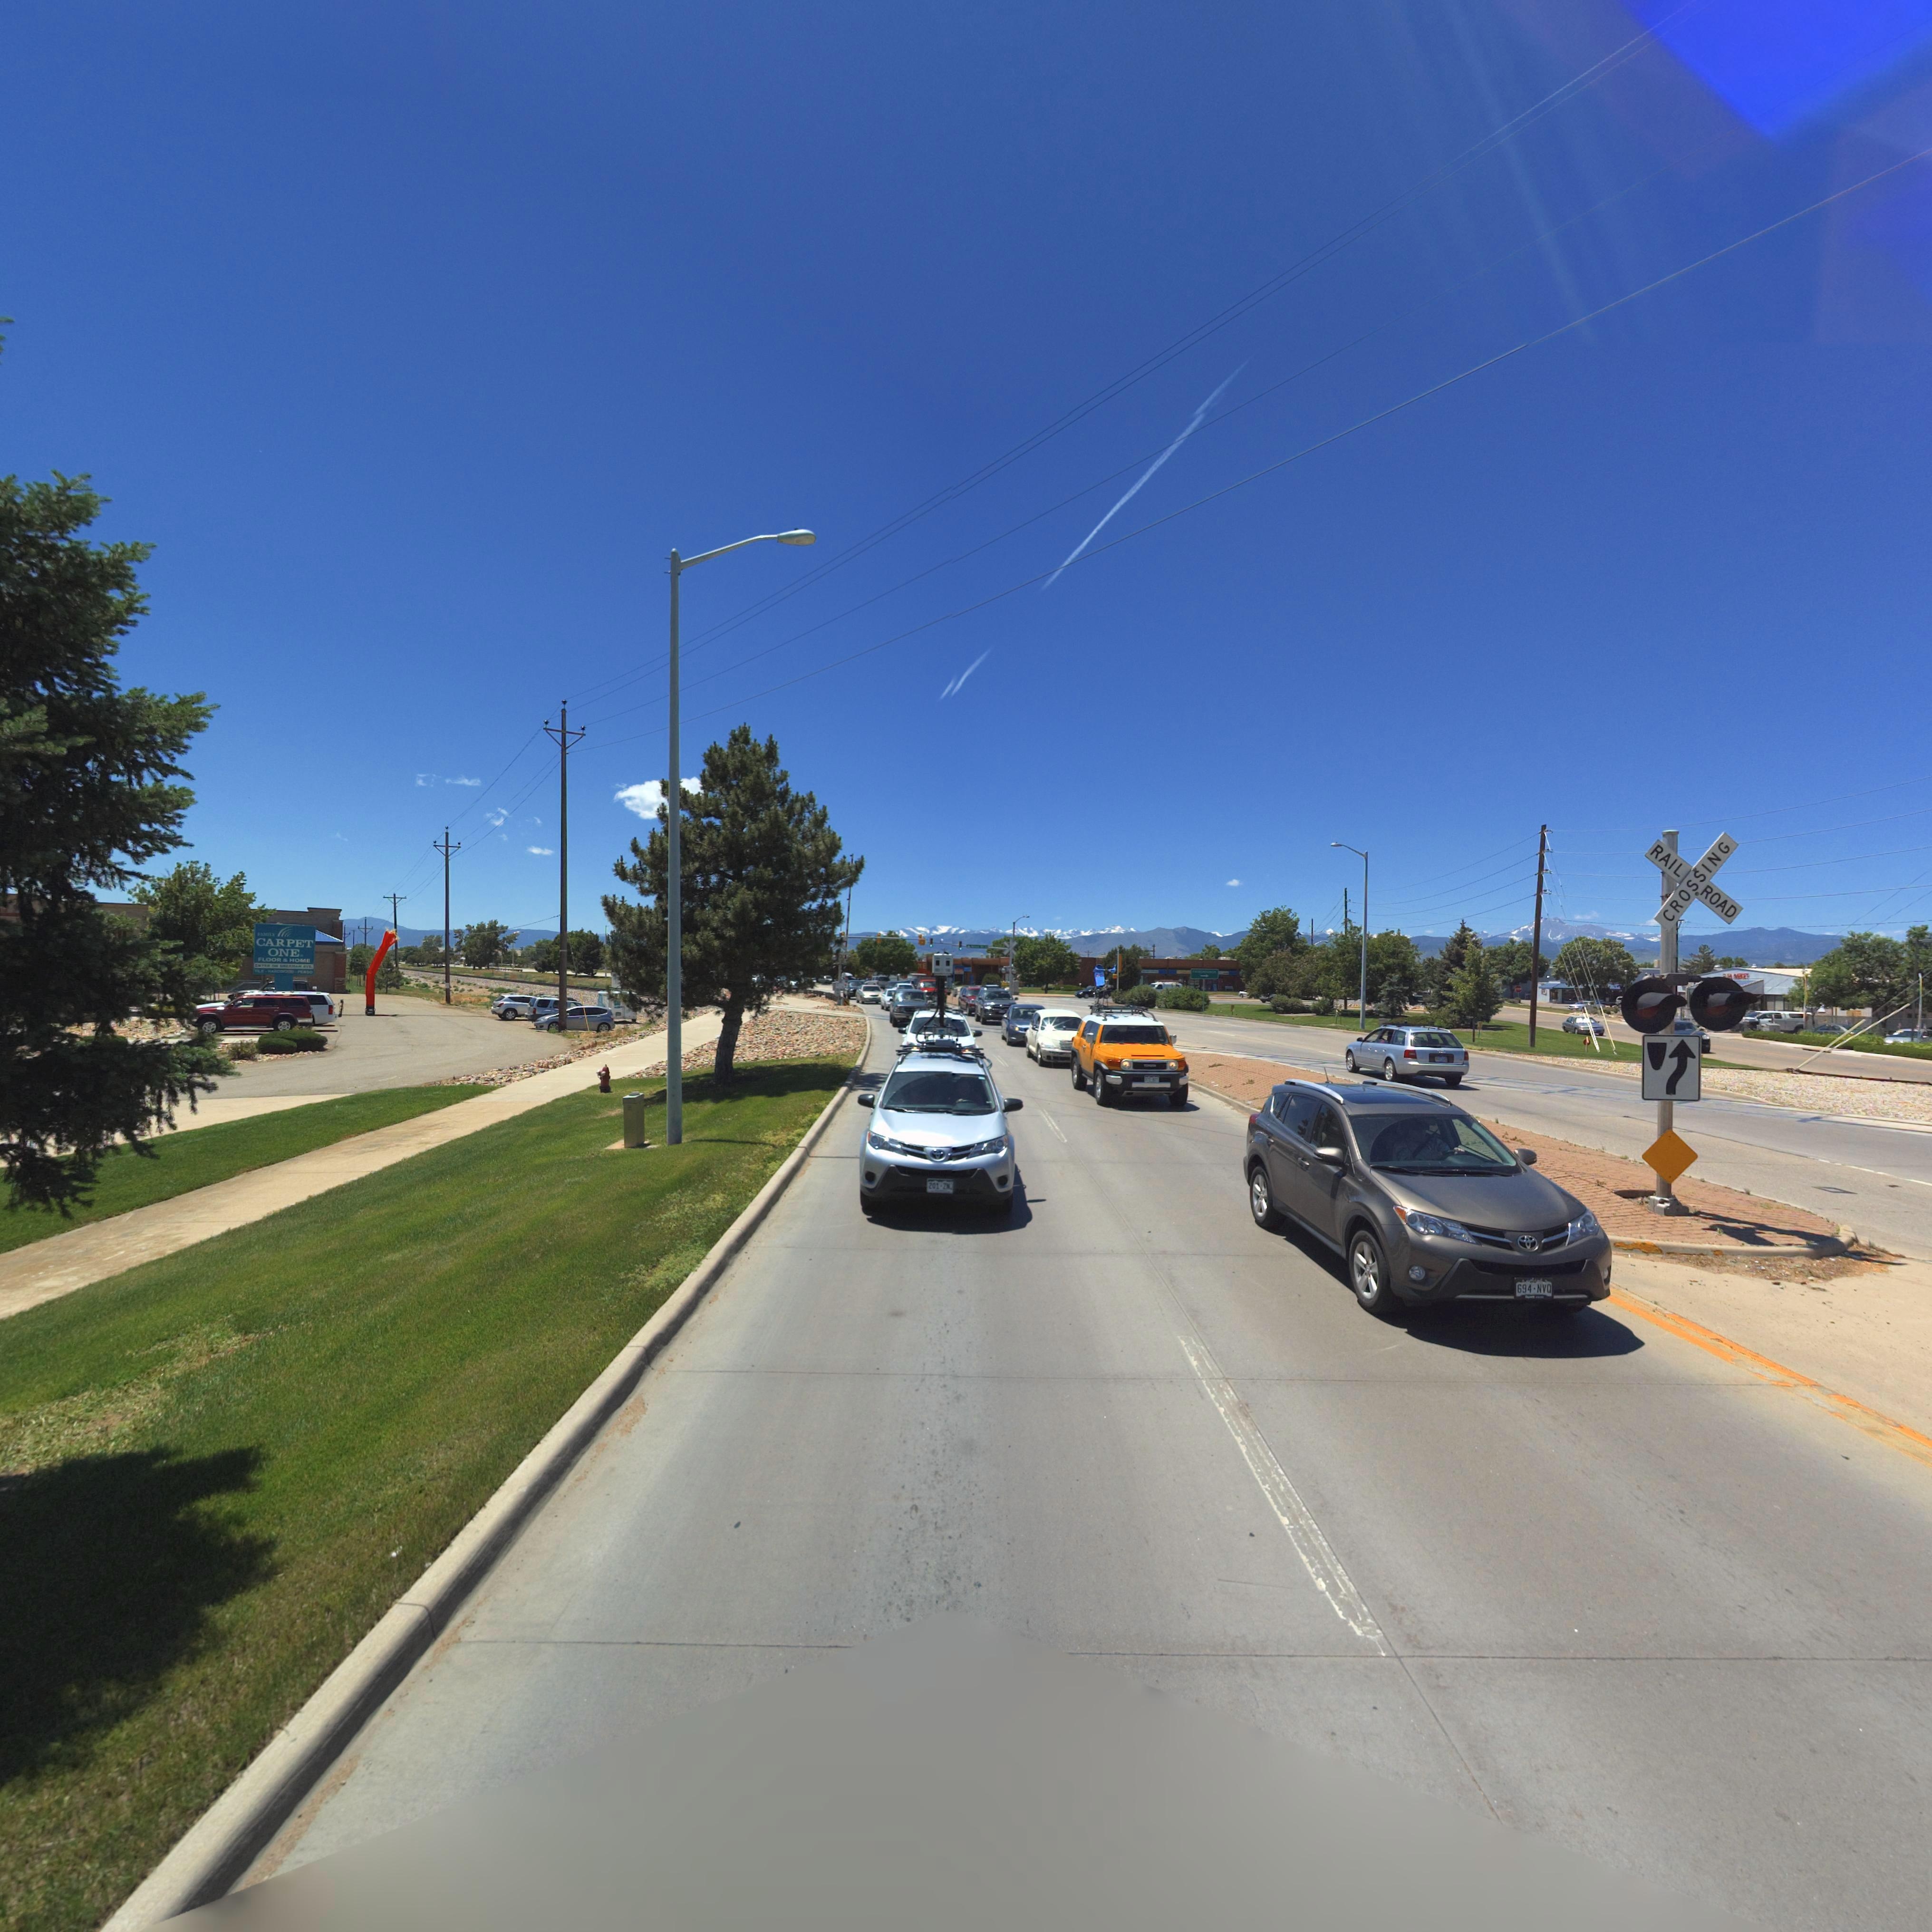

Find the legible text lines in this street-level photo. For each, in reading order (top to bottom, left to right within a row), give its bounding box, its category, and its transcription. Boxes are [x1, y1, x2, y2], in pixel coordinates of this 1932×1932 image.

[255, 937, 314, 948] BusinessName: CARPET
[267, 947, 299, 957] BusinessName: ONE
[258, 956, 310, 963] BusinessName: FLOOR & HOME
[1733, 973, 1749, 979] BusinessName: ****ET